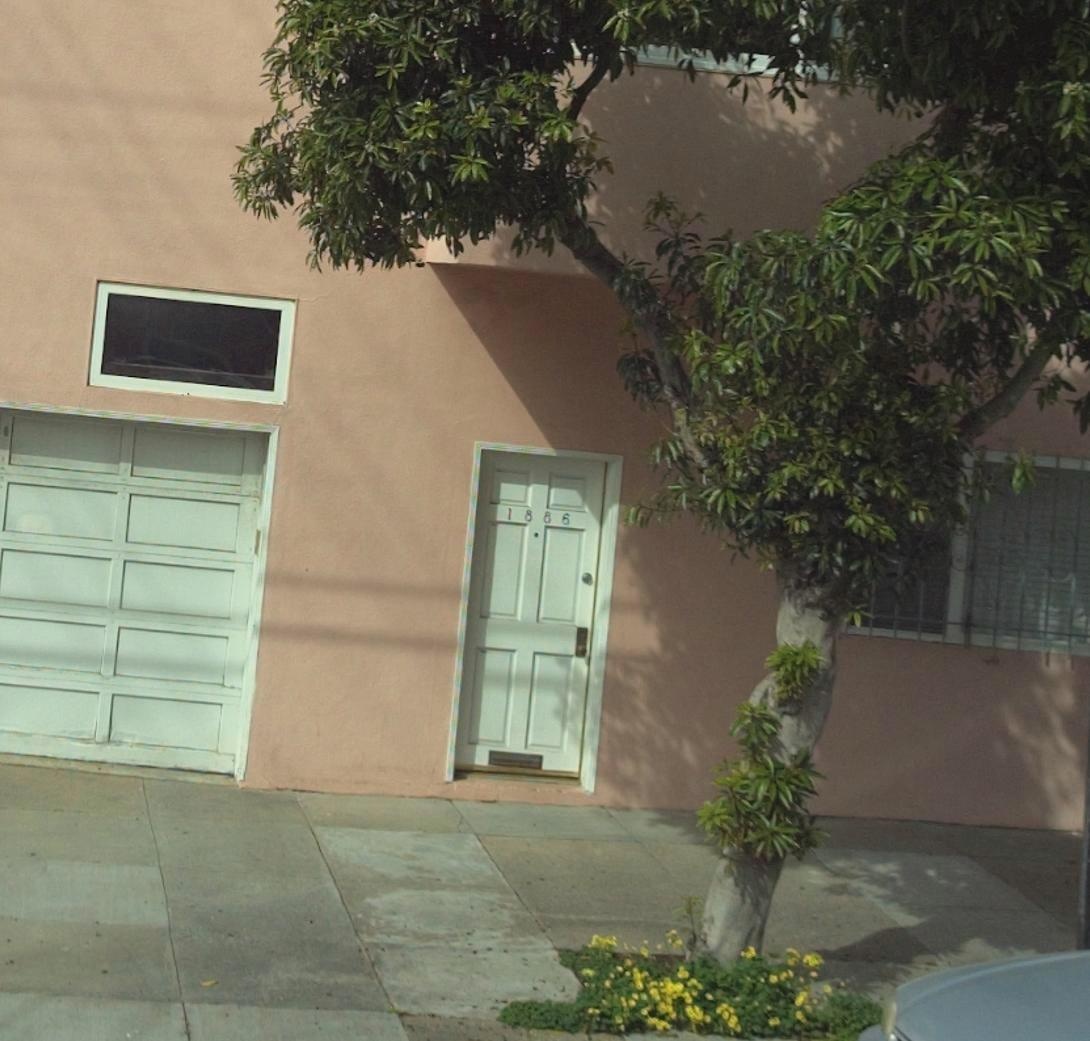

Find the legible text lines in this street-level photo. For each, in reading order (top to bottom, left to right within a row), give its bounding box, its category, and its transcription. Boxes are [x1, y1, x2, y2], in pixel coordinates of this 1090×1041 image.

[505, 505, 573, 529] StreetNumber: 1886